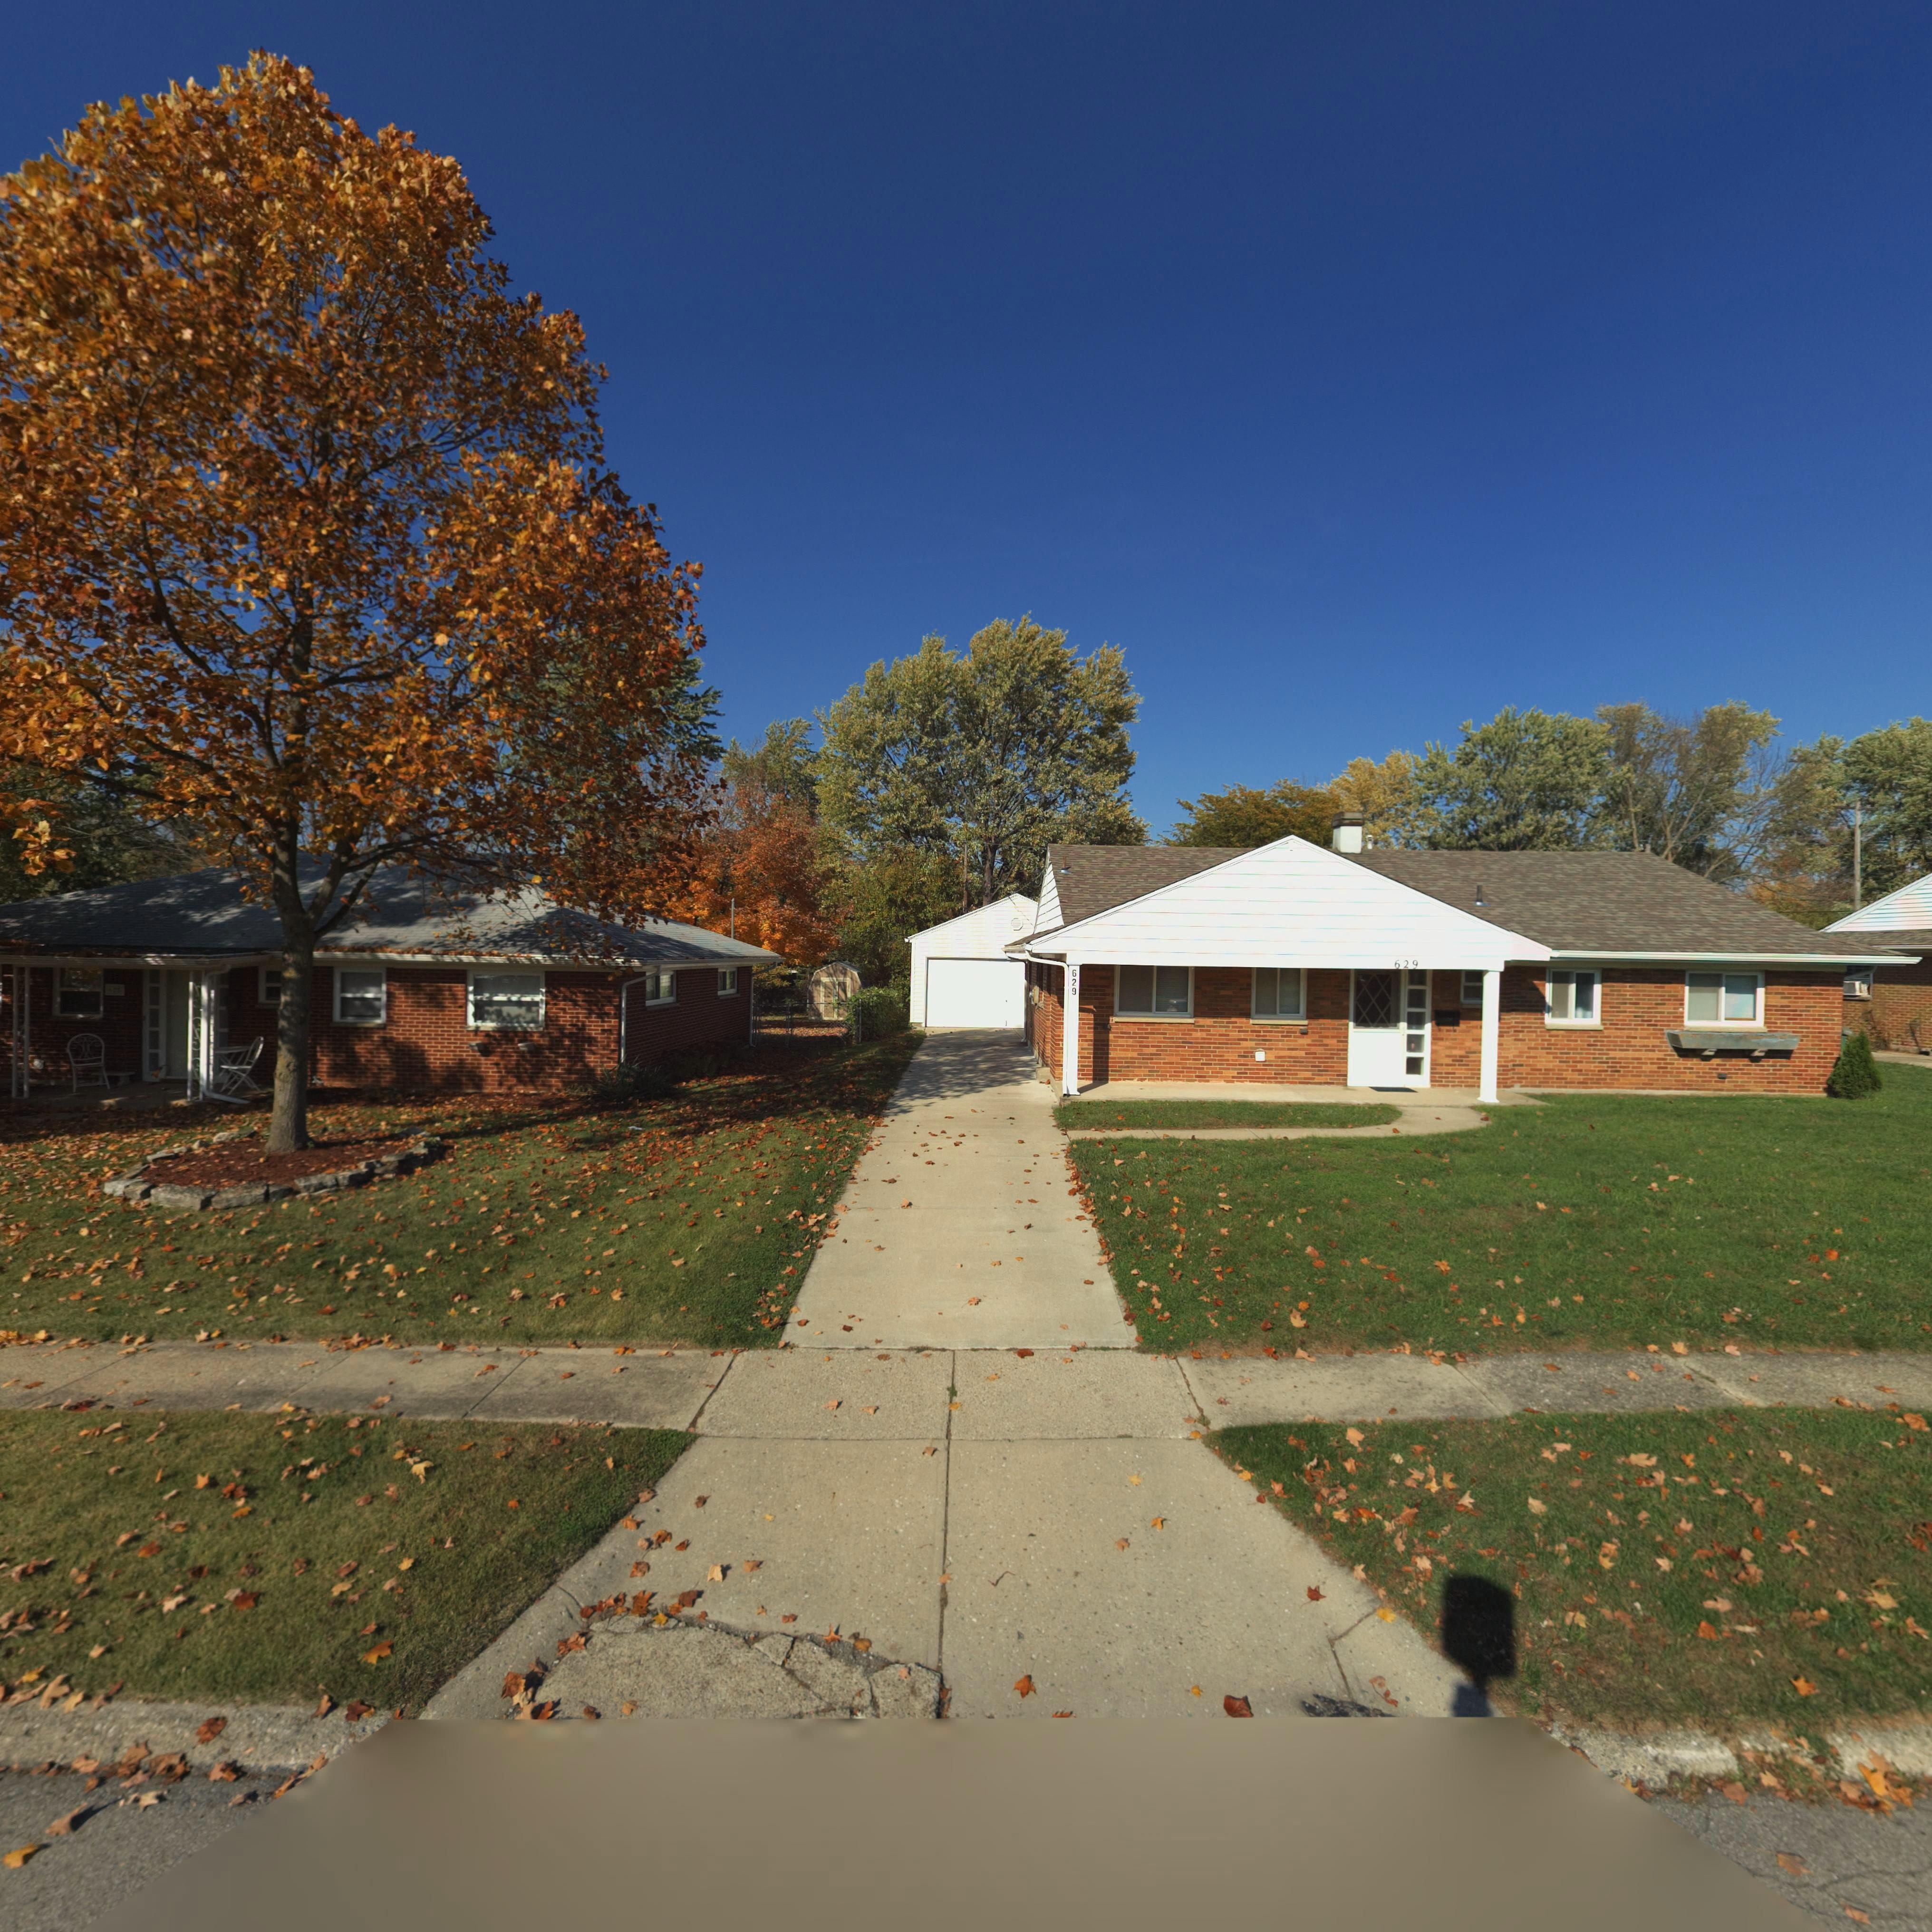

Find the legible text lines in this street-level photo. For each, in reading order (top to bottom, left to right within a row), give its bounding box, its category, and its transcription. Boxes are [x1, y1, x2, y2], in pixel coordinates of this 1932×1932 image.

[1394, 959, 1419, 970] StreetNumber: 629
[1072, 969, 1077, 995] StreetNumber: 629
[108, 986, 121, 993] StreetNumber: **5